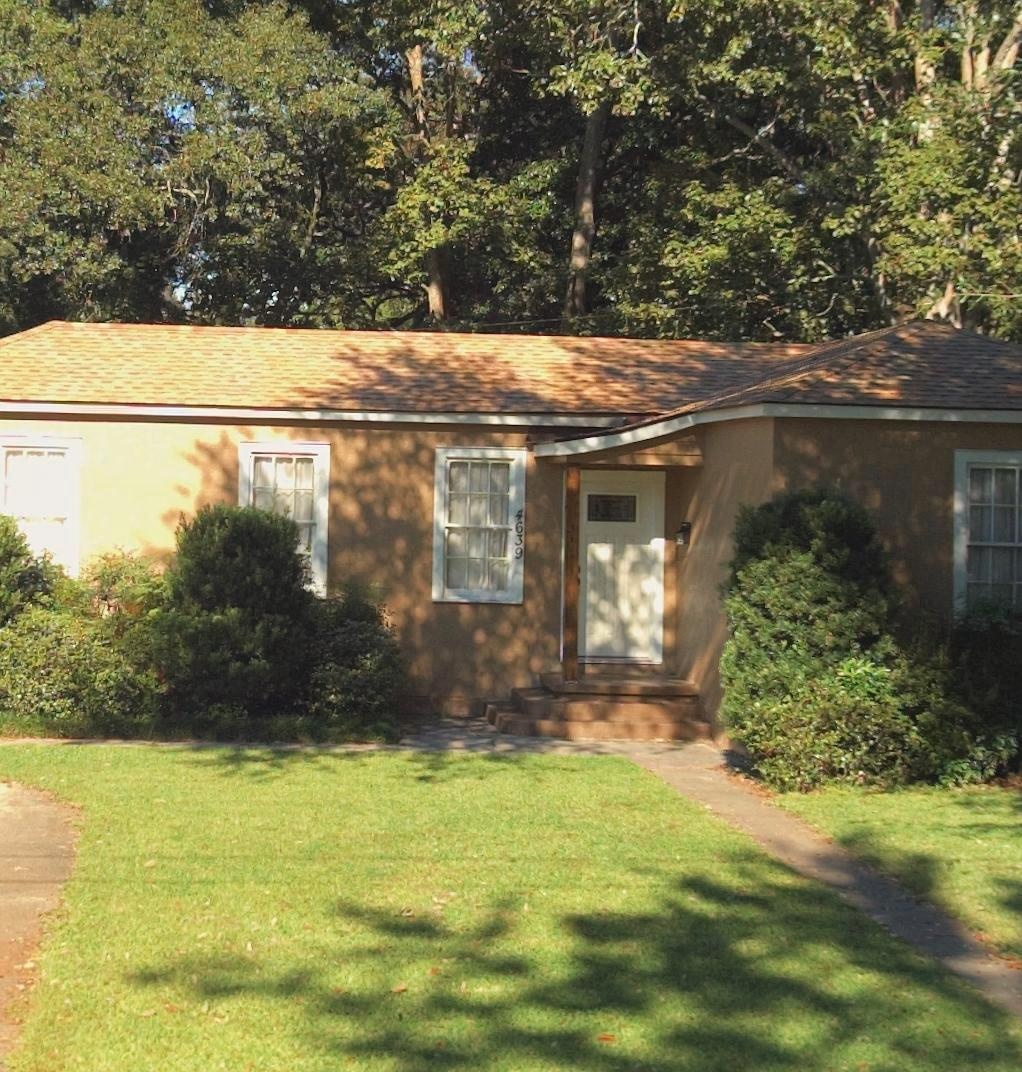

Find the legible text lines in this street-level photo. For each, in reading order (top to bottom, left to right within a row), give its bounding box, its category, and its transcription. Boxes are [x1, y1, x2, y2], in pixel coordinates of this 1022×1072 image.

[513, 506, 525, 563] StreetNumber: 4639